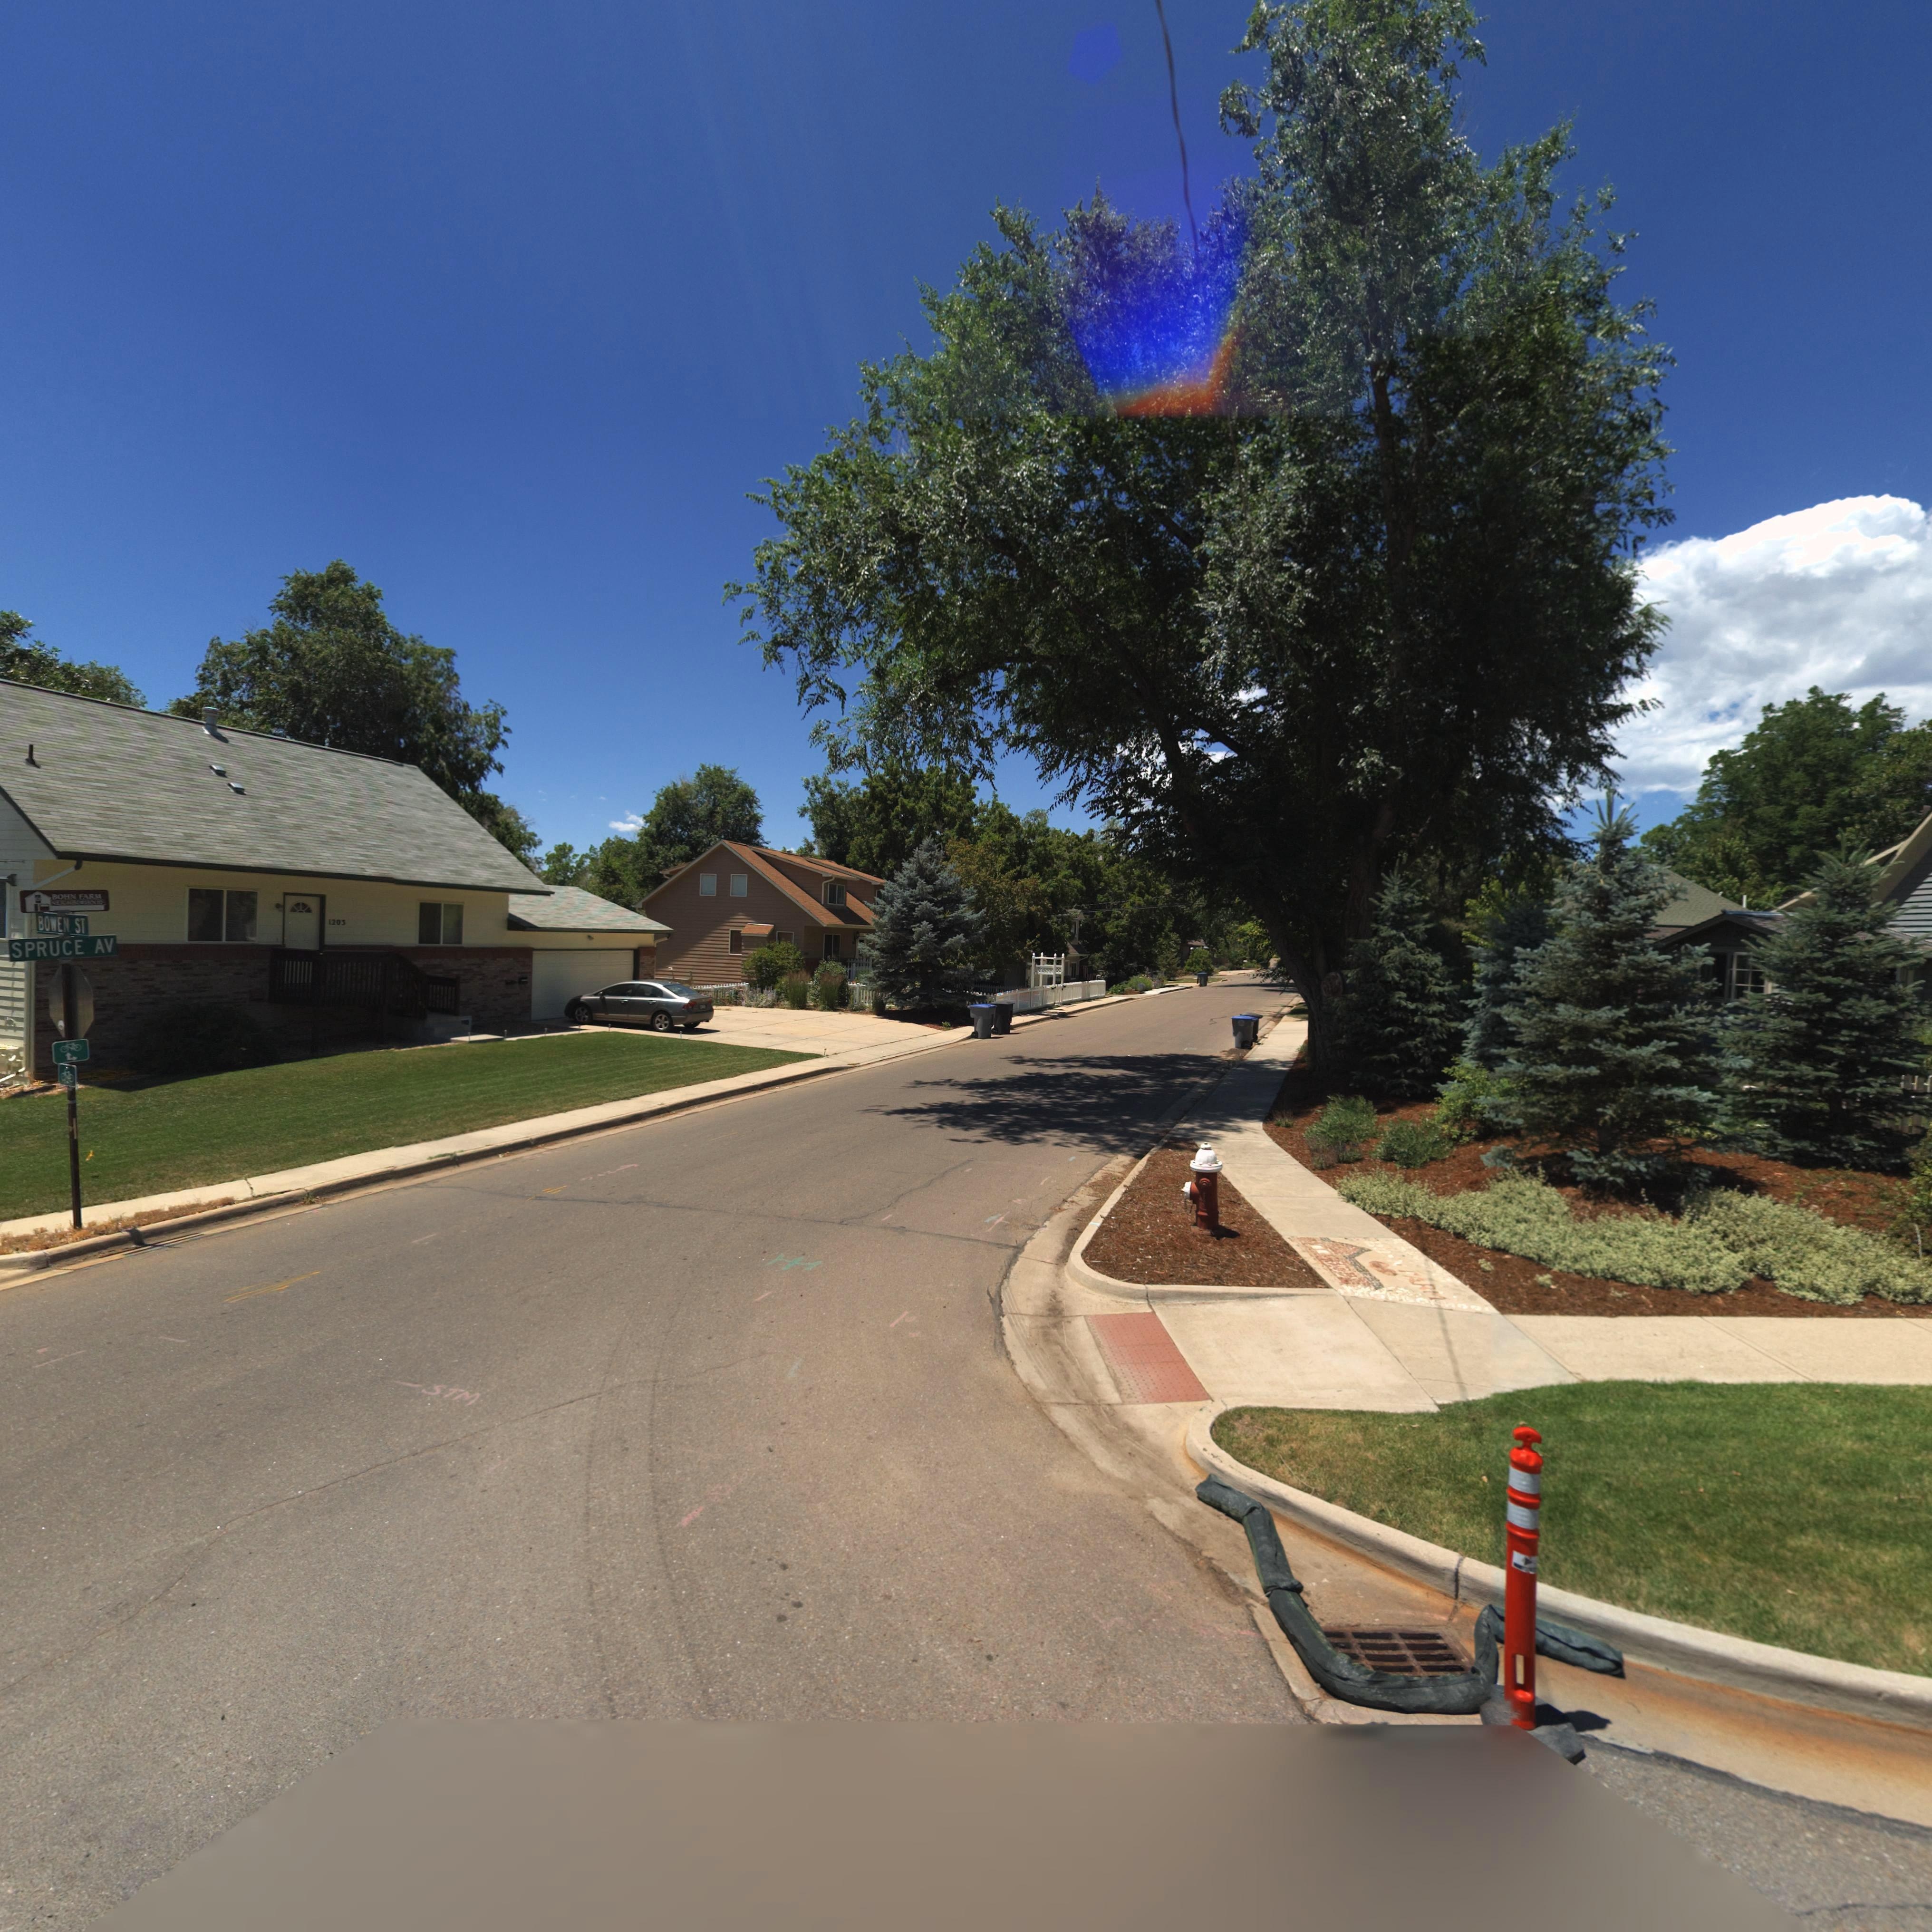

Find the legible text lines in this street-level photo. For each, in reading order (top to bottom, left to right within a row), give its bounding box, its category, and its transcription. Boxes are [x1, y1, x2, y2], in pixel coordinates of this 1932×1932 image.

[36, 914, 87, 936] StreetName: BOWEN ST
[328, 918, 346, 925] StreetNumber: 1203
[11, 937, 115, 958] StreetName: SPRUCE AV